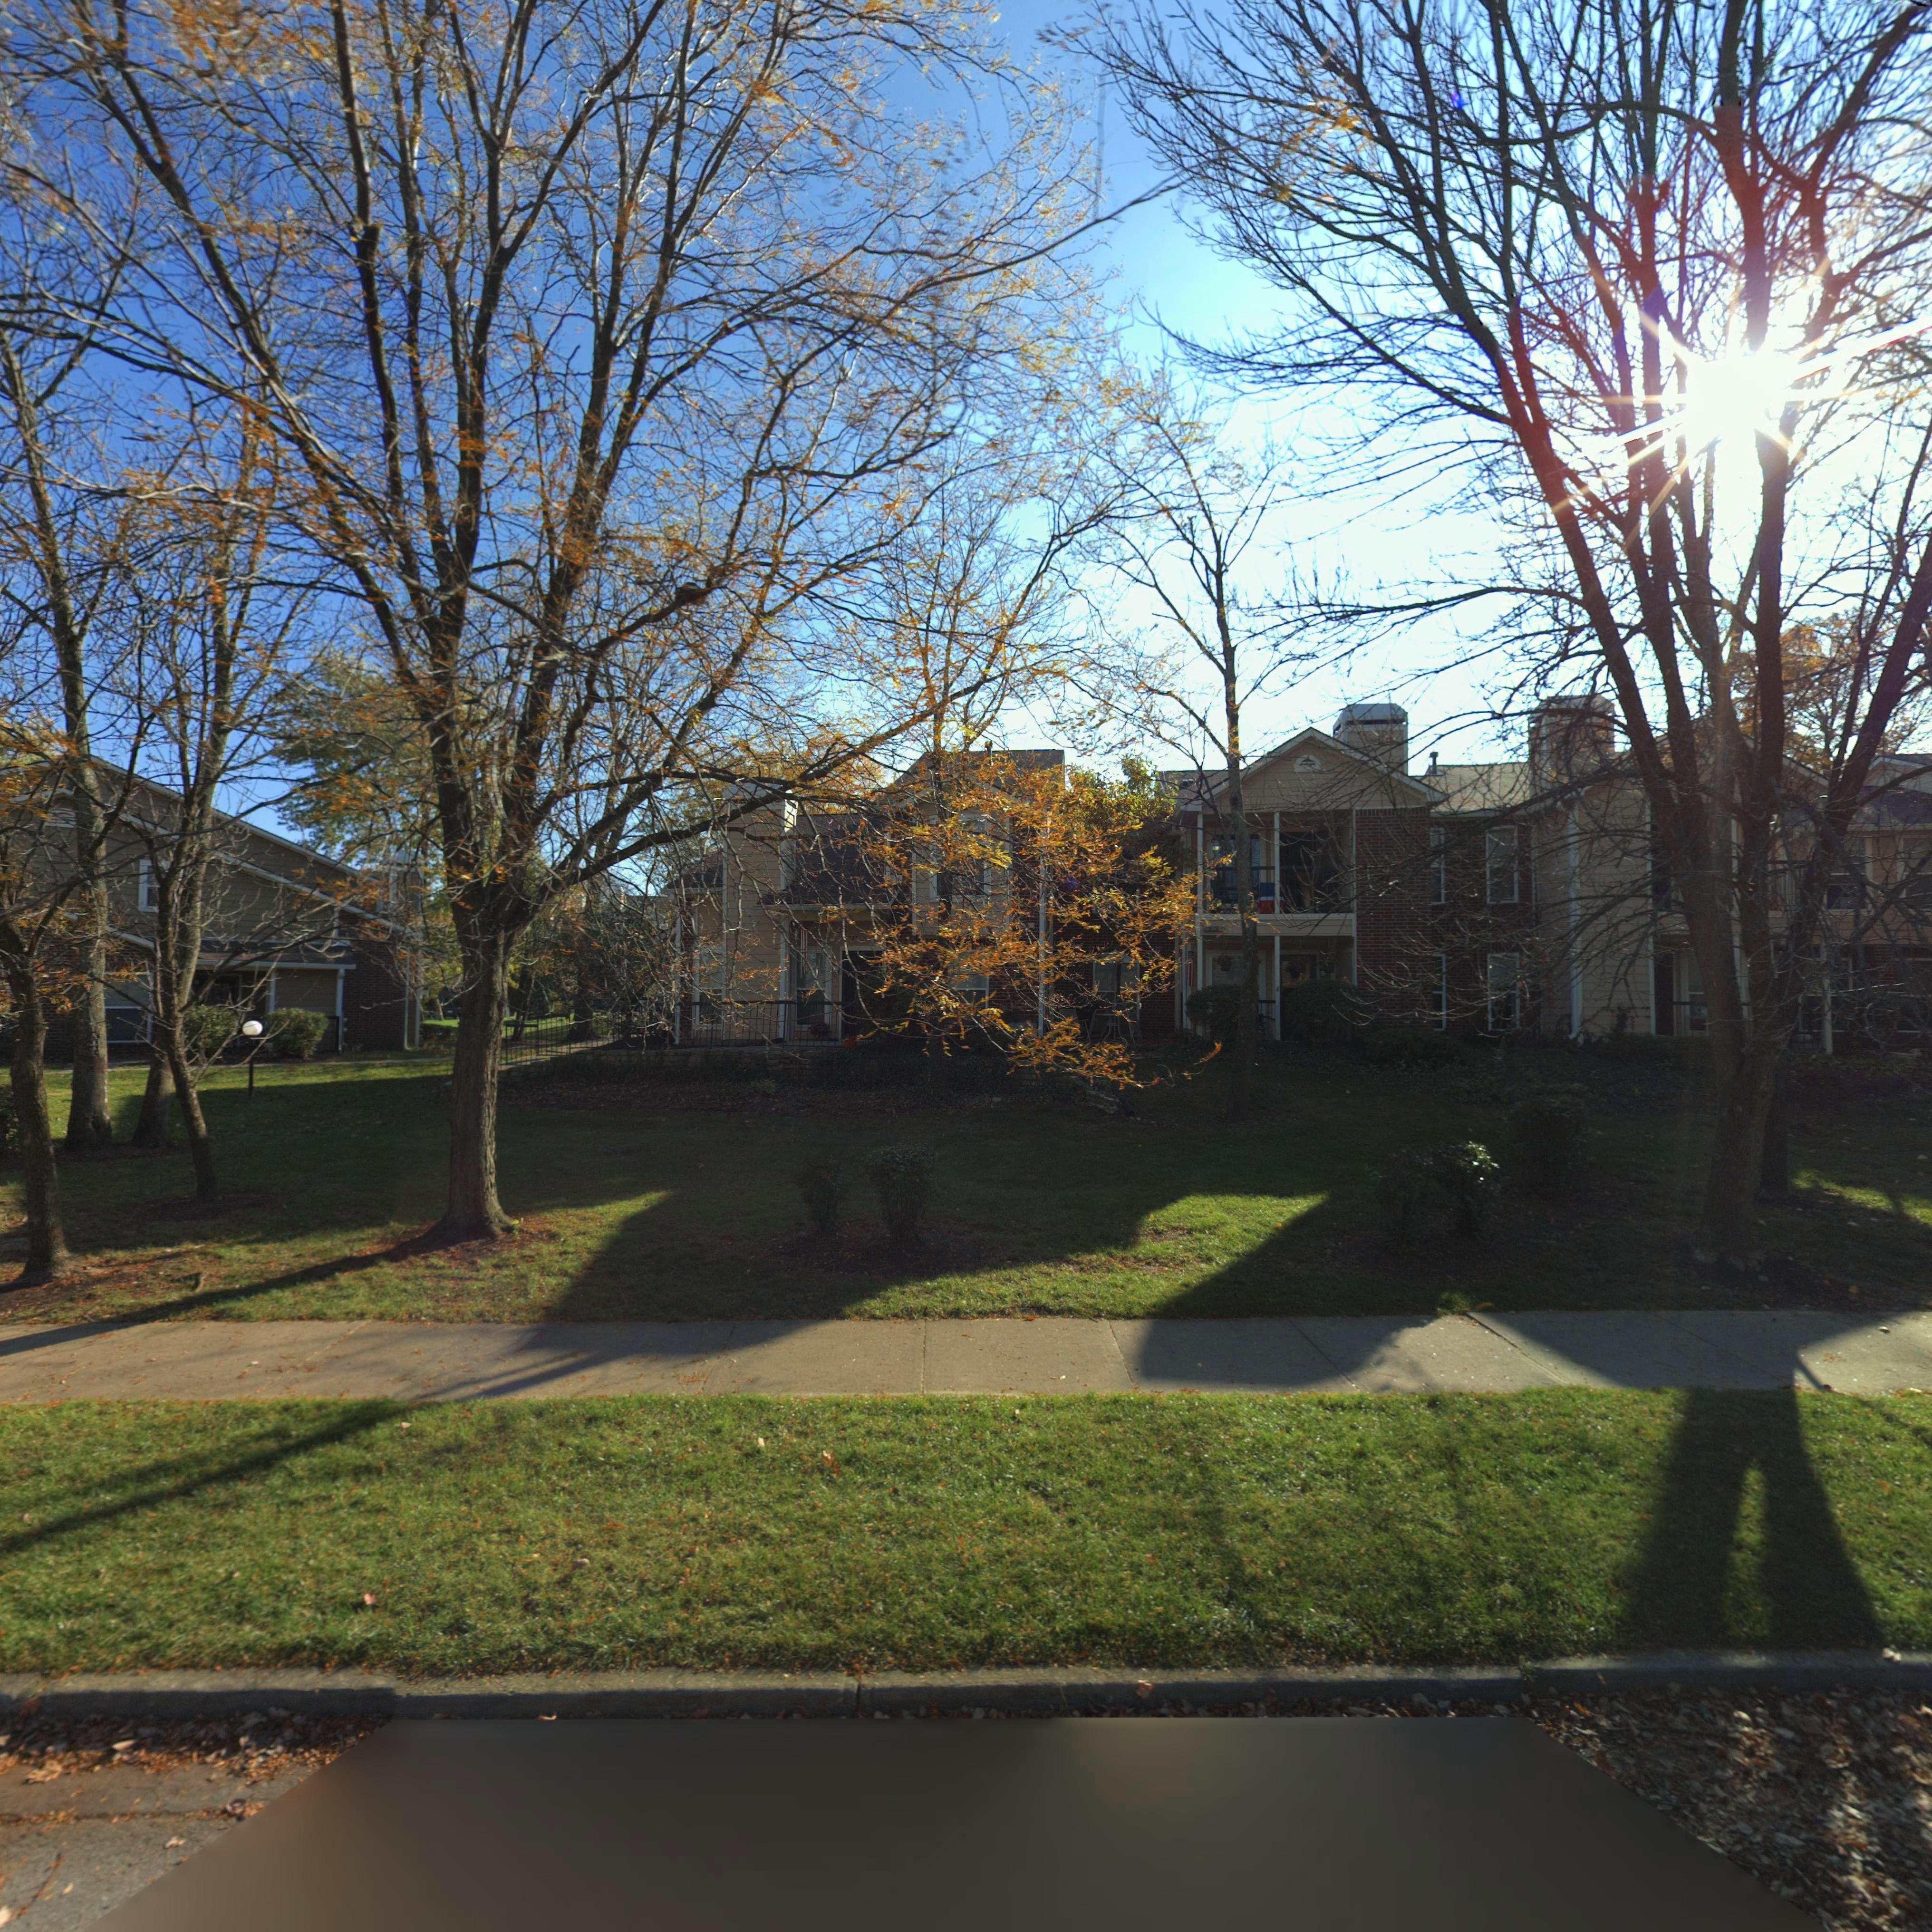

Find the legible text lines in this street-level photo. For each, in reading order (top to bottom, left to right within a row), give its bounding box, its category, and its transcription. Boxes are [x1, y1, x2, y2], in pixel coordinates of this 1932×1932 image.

[848, 936, 858, 940] StreetNumber: 73*